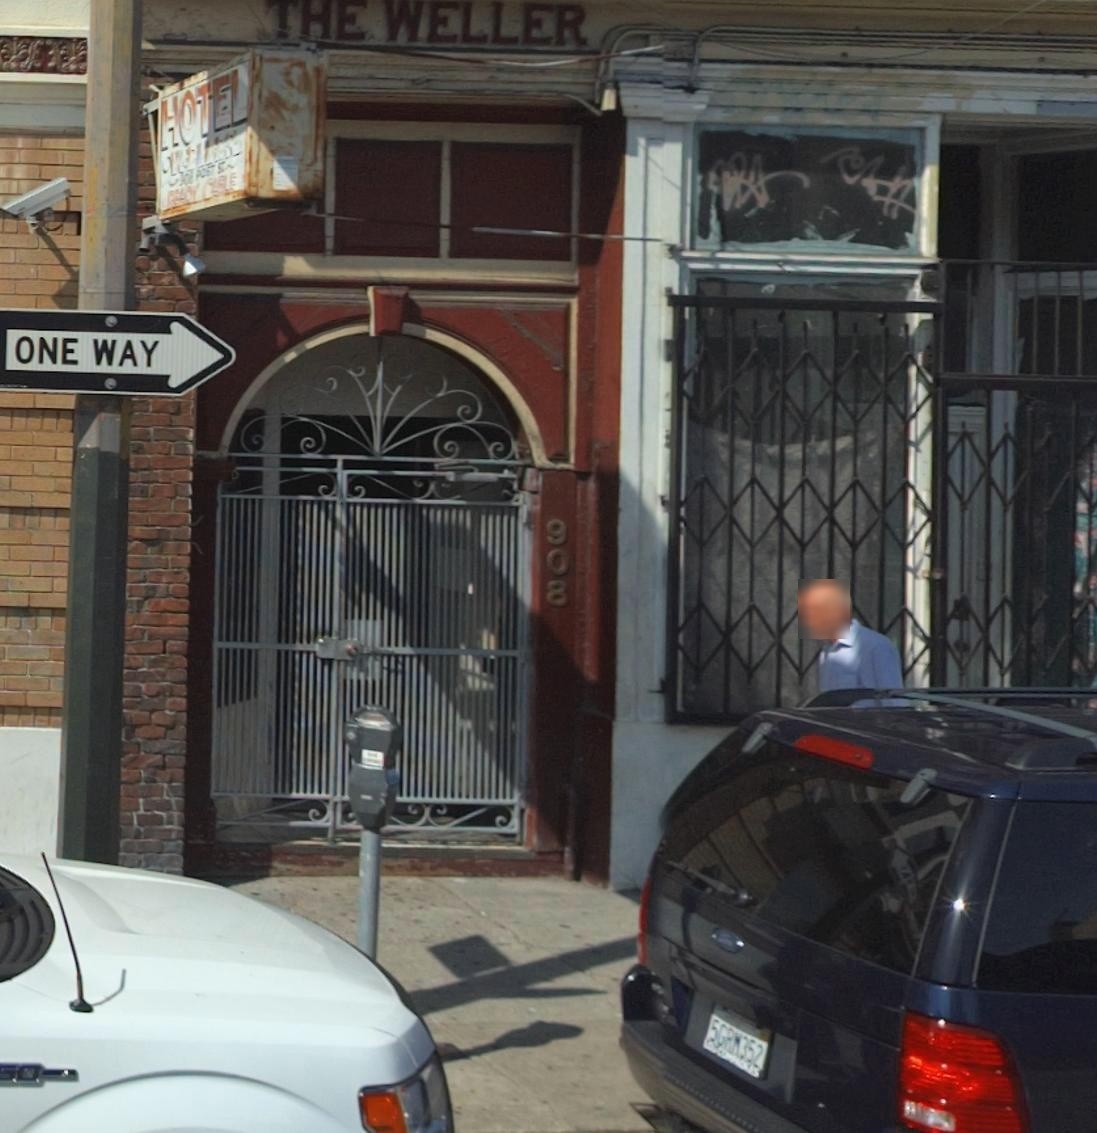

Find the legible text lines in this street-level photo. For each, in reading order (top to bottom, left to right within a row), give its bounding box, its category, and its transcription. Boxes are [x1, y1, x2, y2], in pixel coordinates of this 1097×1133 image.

[298, 0, 591, 48] None: HE WELLER
[160, 62, 249, 152] None: HOTEL
[13, 335, 161, 368] None: ONE WAY
[543, 518, 571, 611] StreetNumber: 908